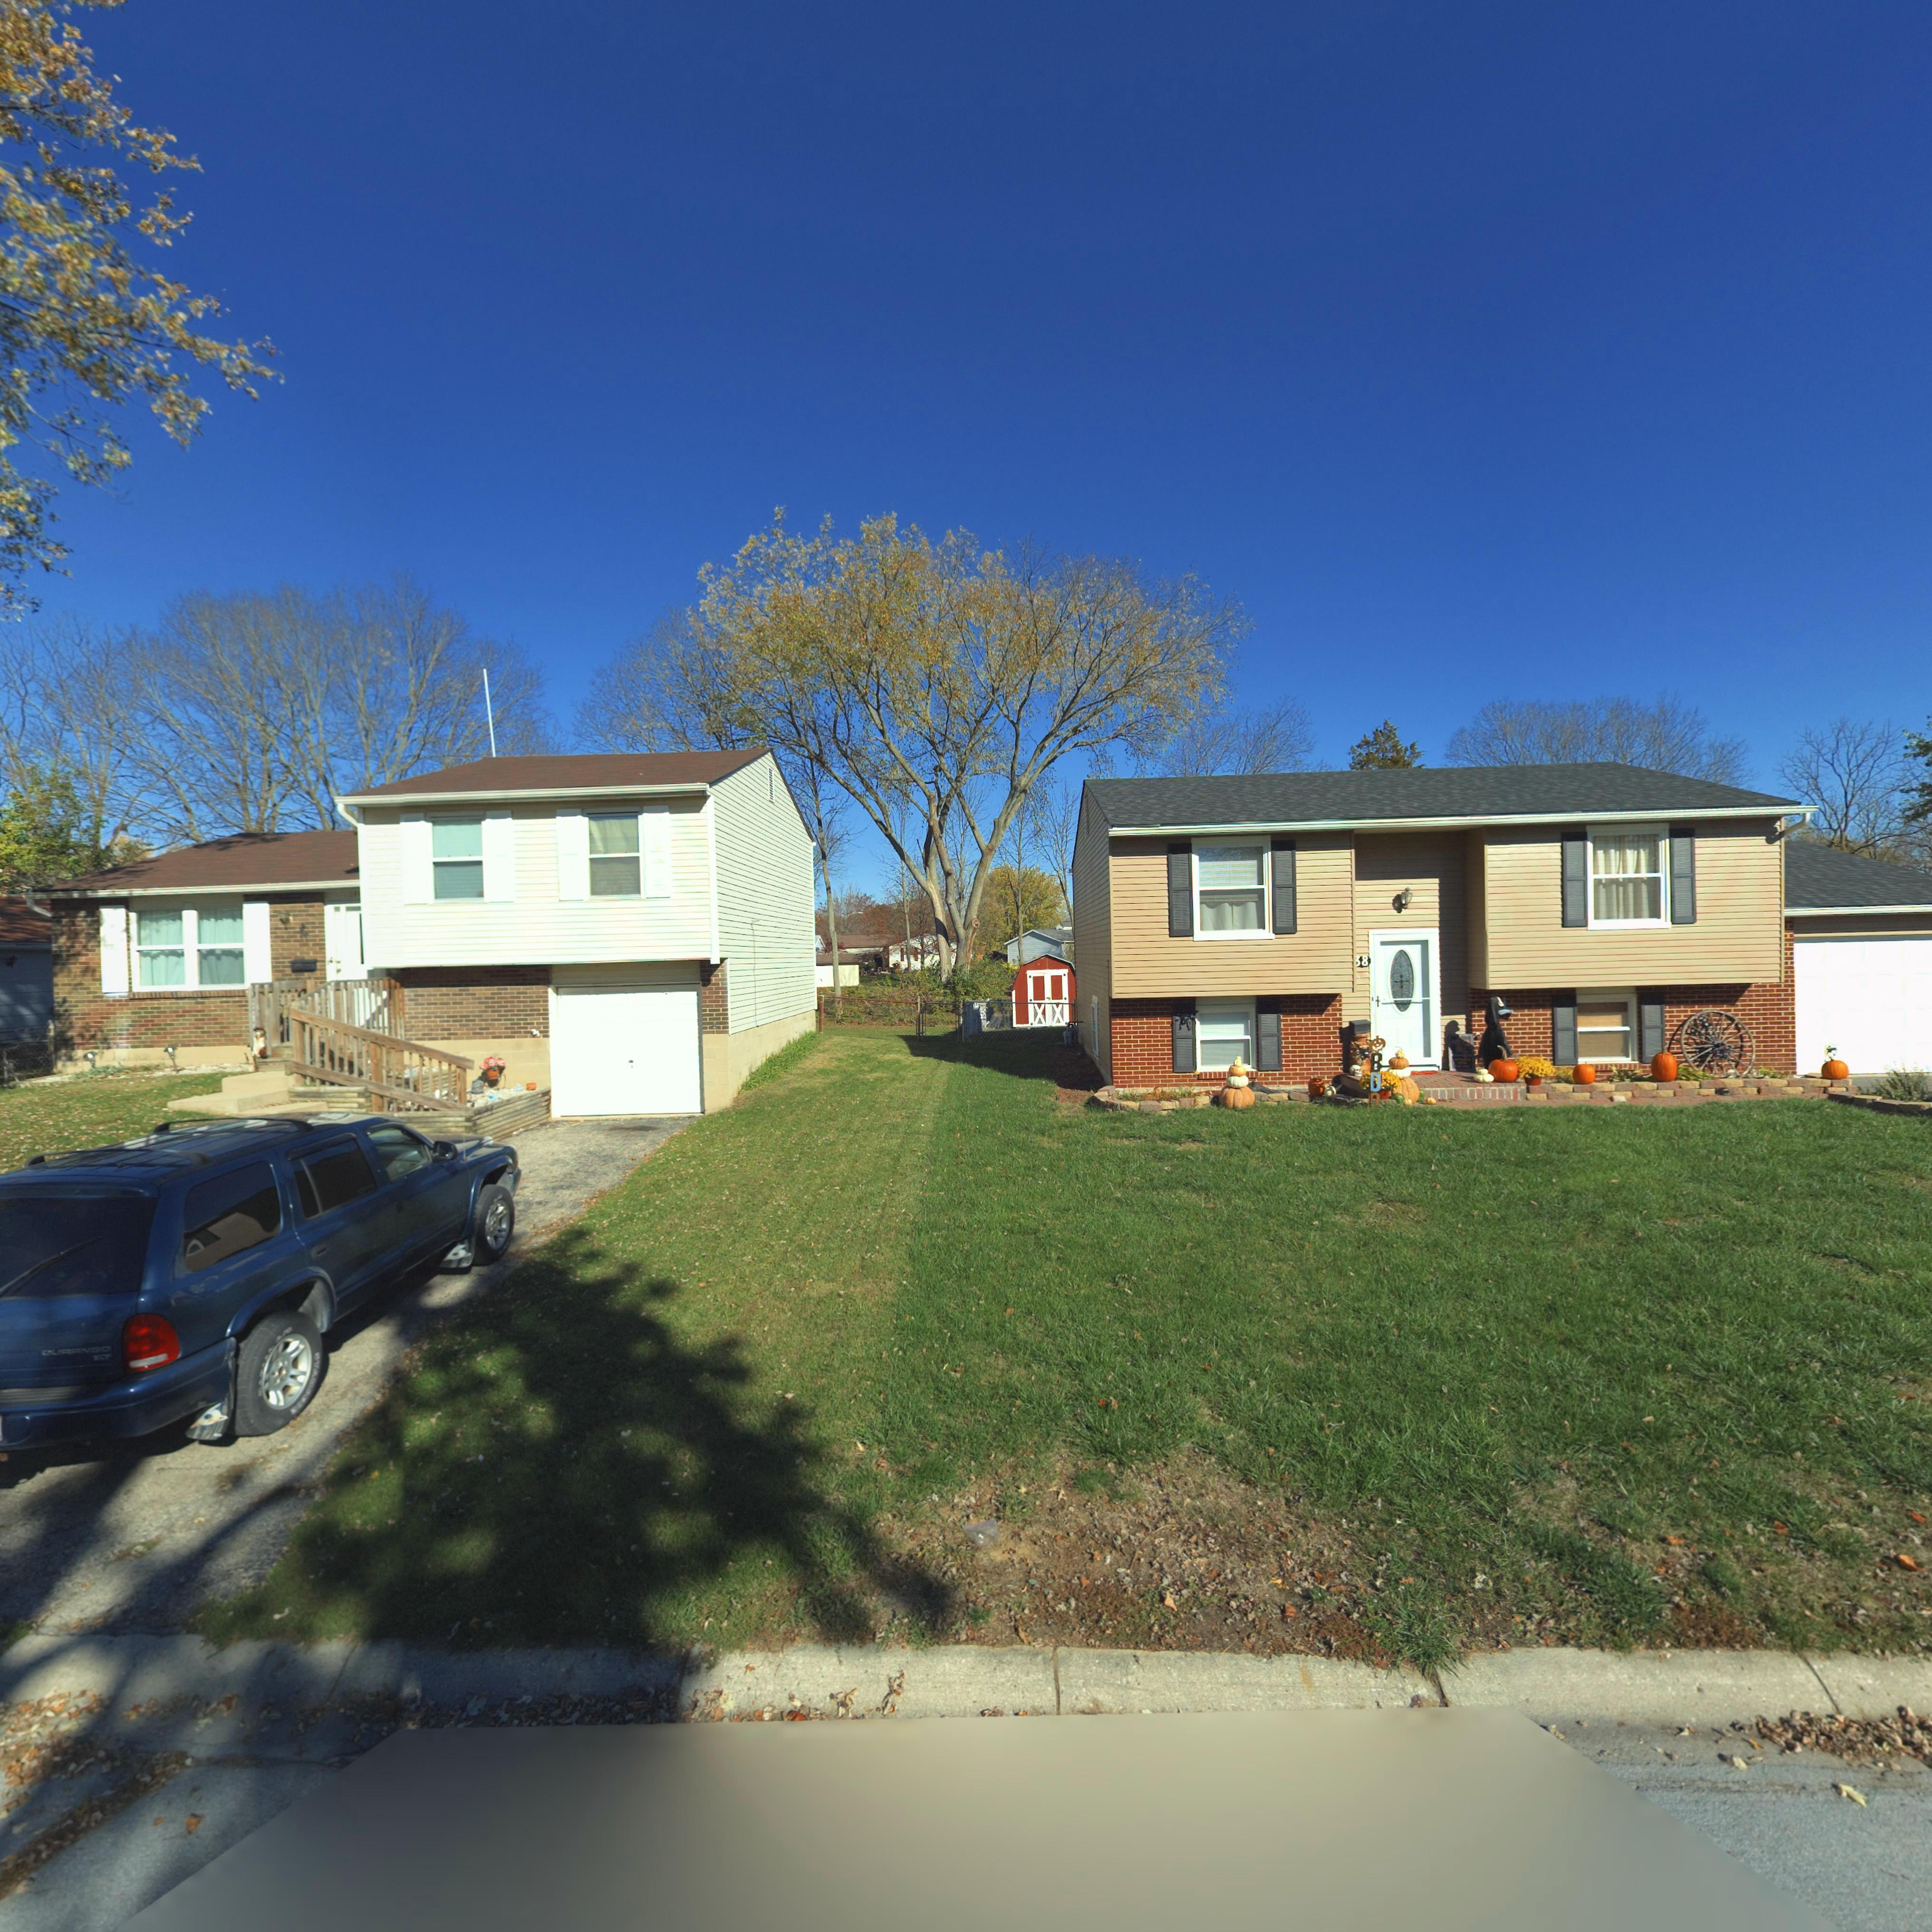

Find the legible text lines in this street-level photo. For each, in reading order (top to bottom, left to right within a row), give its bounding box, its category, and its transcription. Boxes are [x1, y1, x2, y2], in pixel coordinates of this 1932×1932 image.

[1361, 955, 1369, 967] StreetNumber: 8